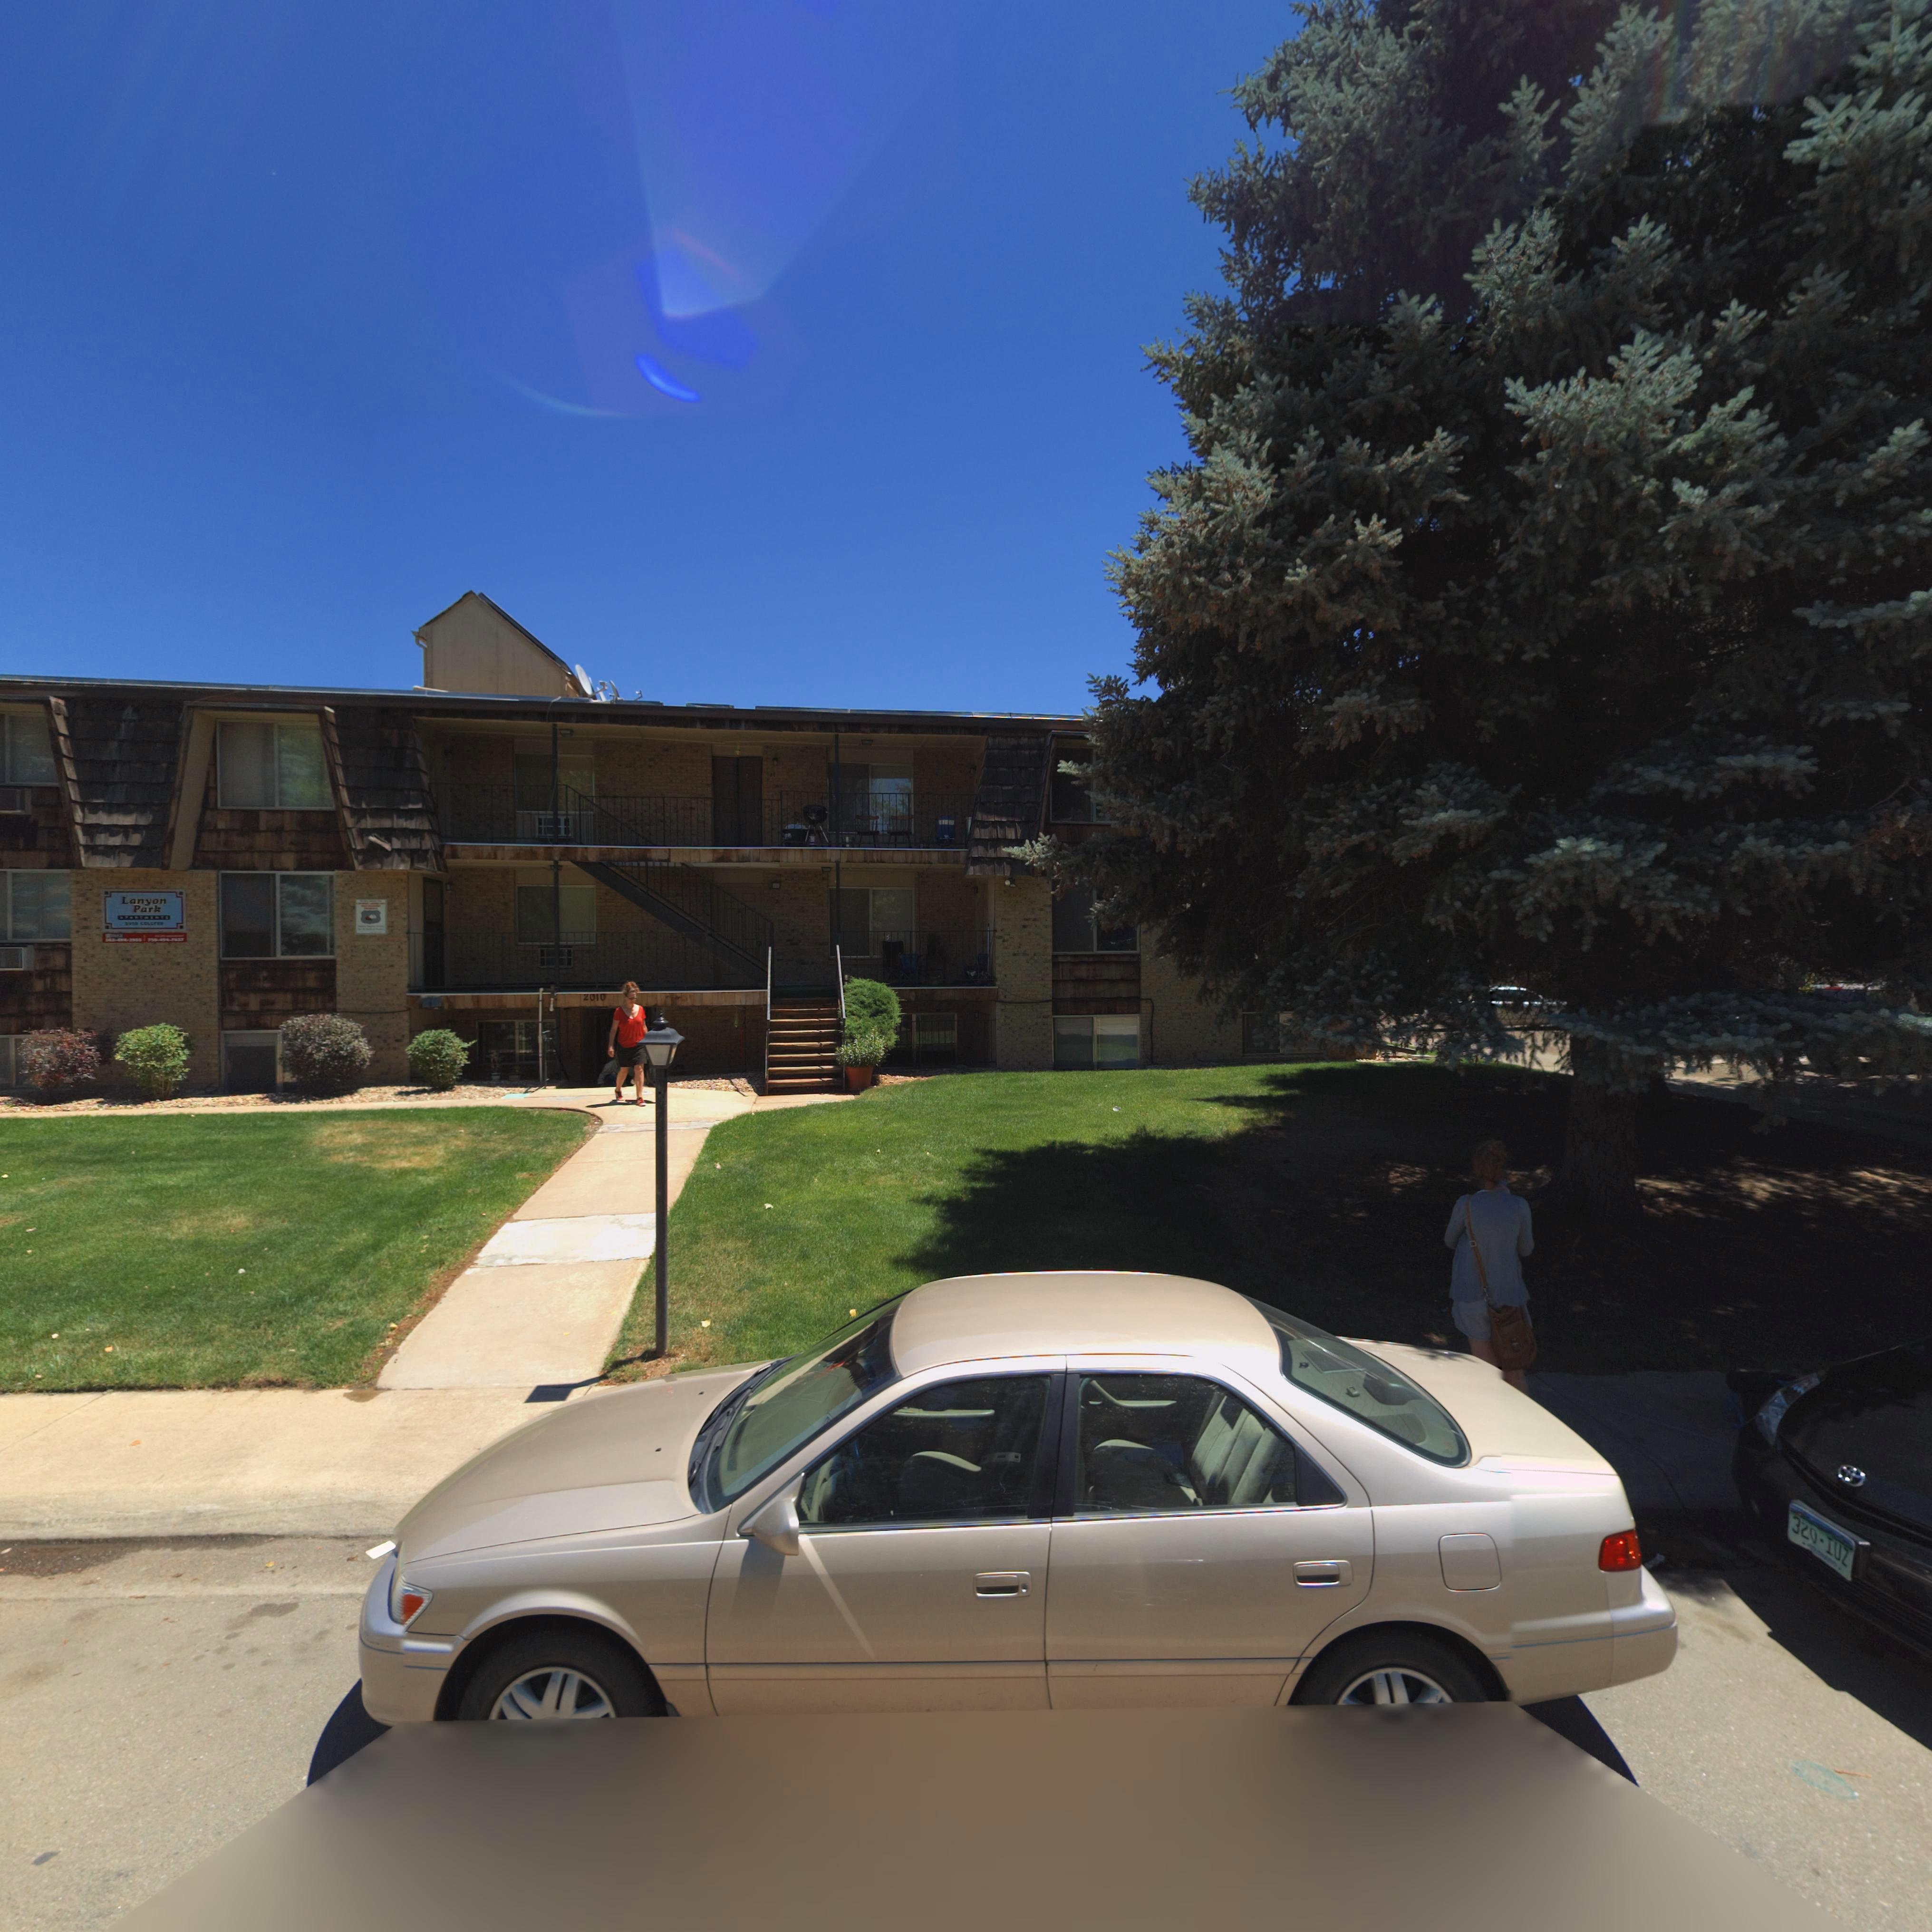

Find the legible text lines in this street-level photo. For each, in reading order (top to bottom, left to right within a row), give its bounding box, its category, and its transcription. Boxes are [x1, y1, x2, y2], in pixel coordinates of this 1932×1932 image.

[120, 896, 167, 906] BusinessName: Lanyon
[133, 904, 162, 912] BusinessName: Park
[583, 993, 606, 1001] StreetNumber: 2010